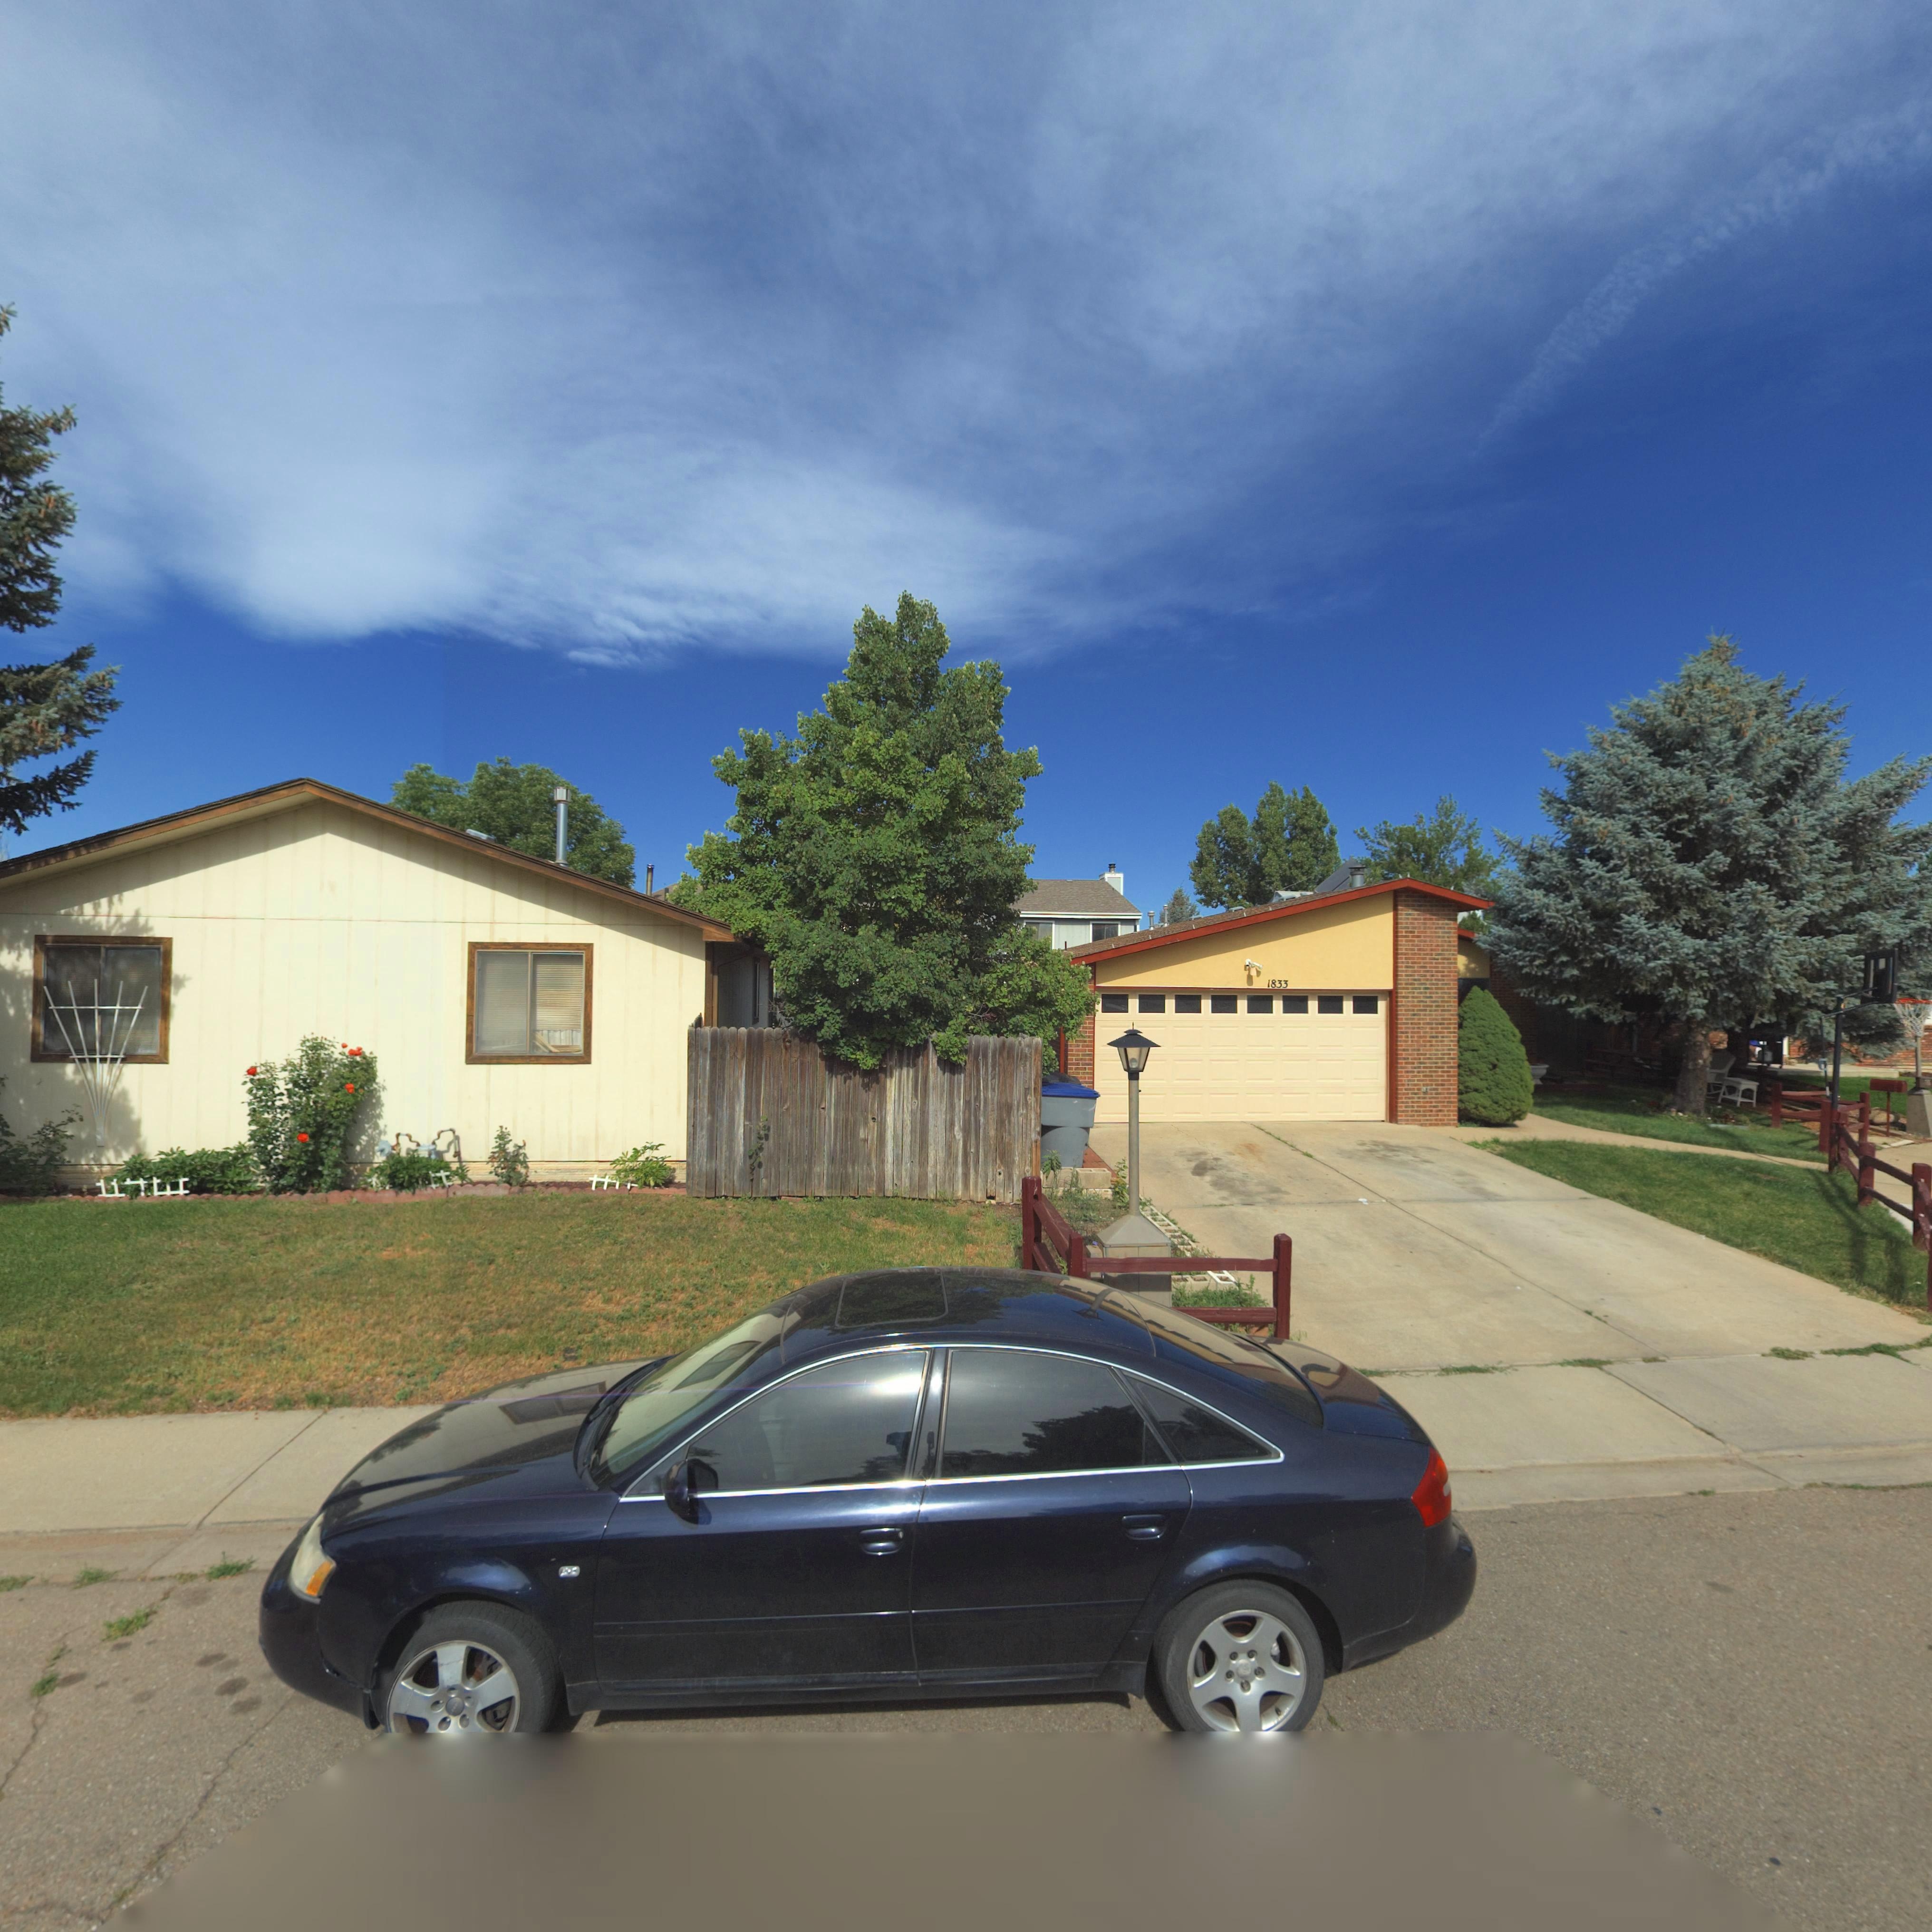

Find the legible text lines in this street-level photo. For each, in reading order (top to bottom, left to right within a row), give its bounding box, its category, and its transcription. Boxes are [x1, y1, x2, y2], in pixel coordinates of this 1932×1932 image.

[1267, 978, 1288, 988] StreetNumber: 1833